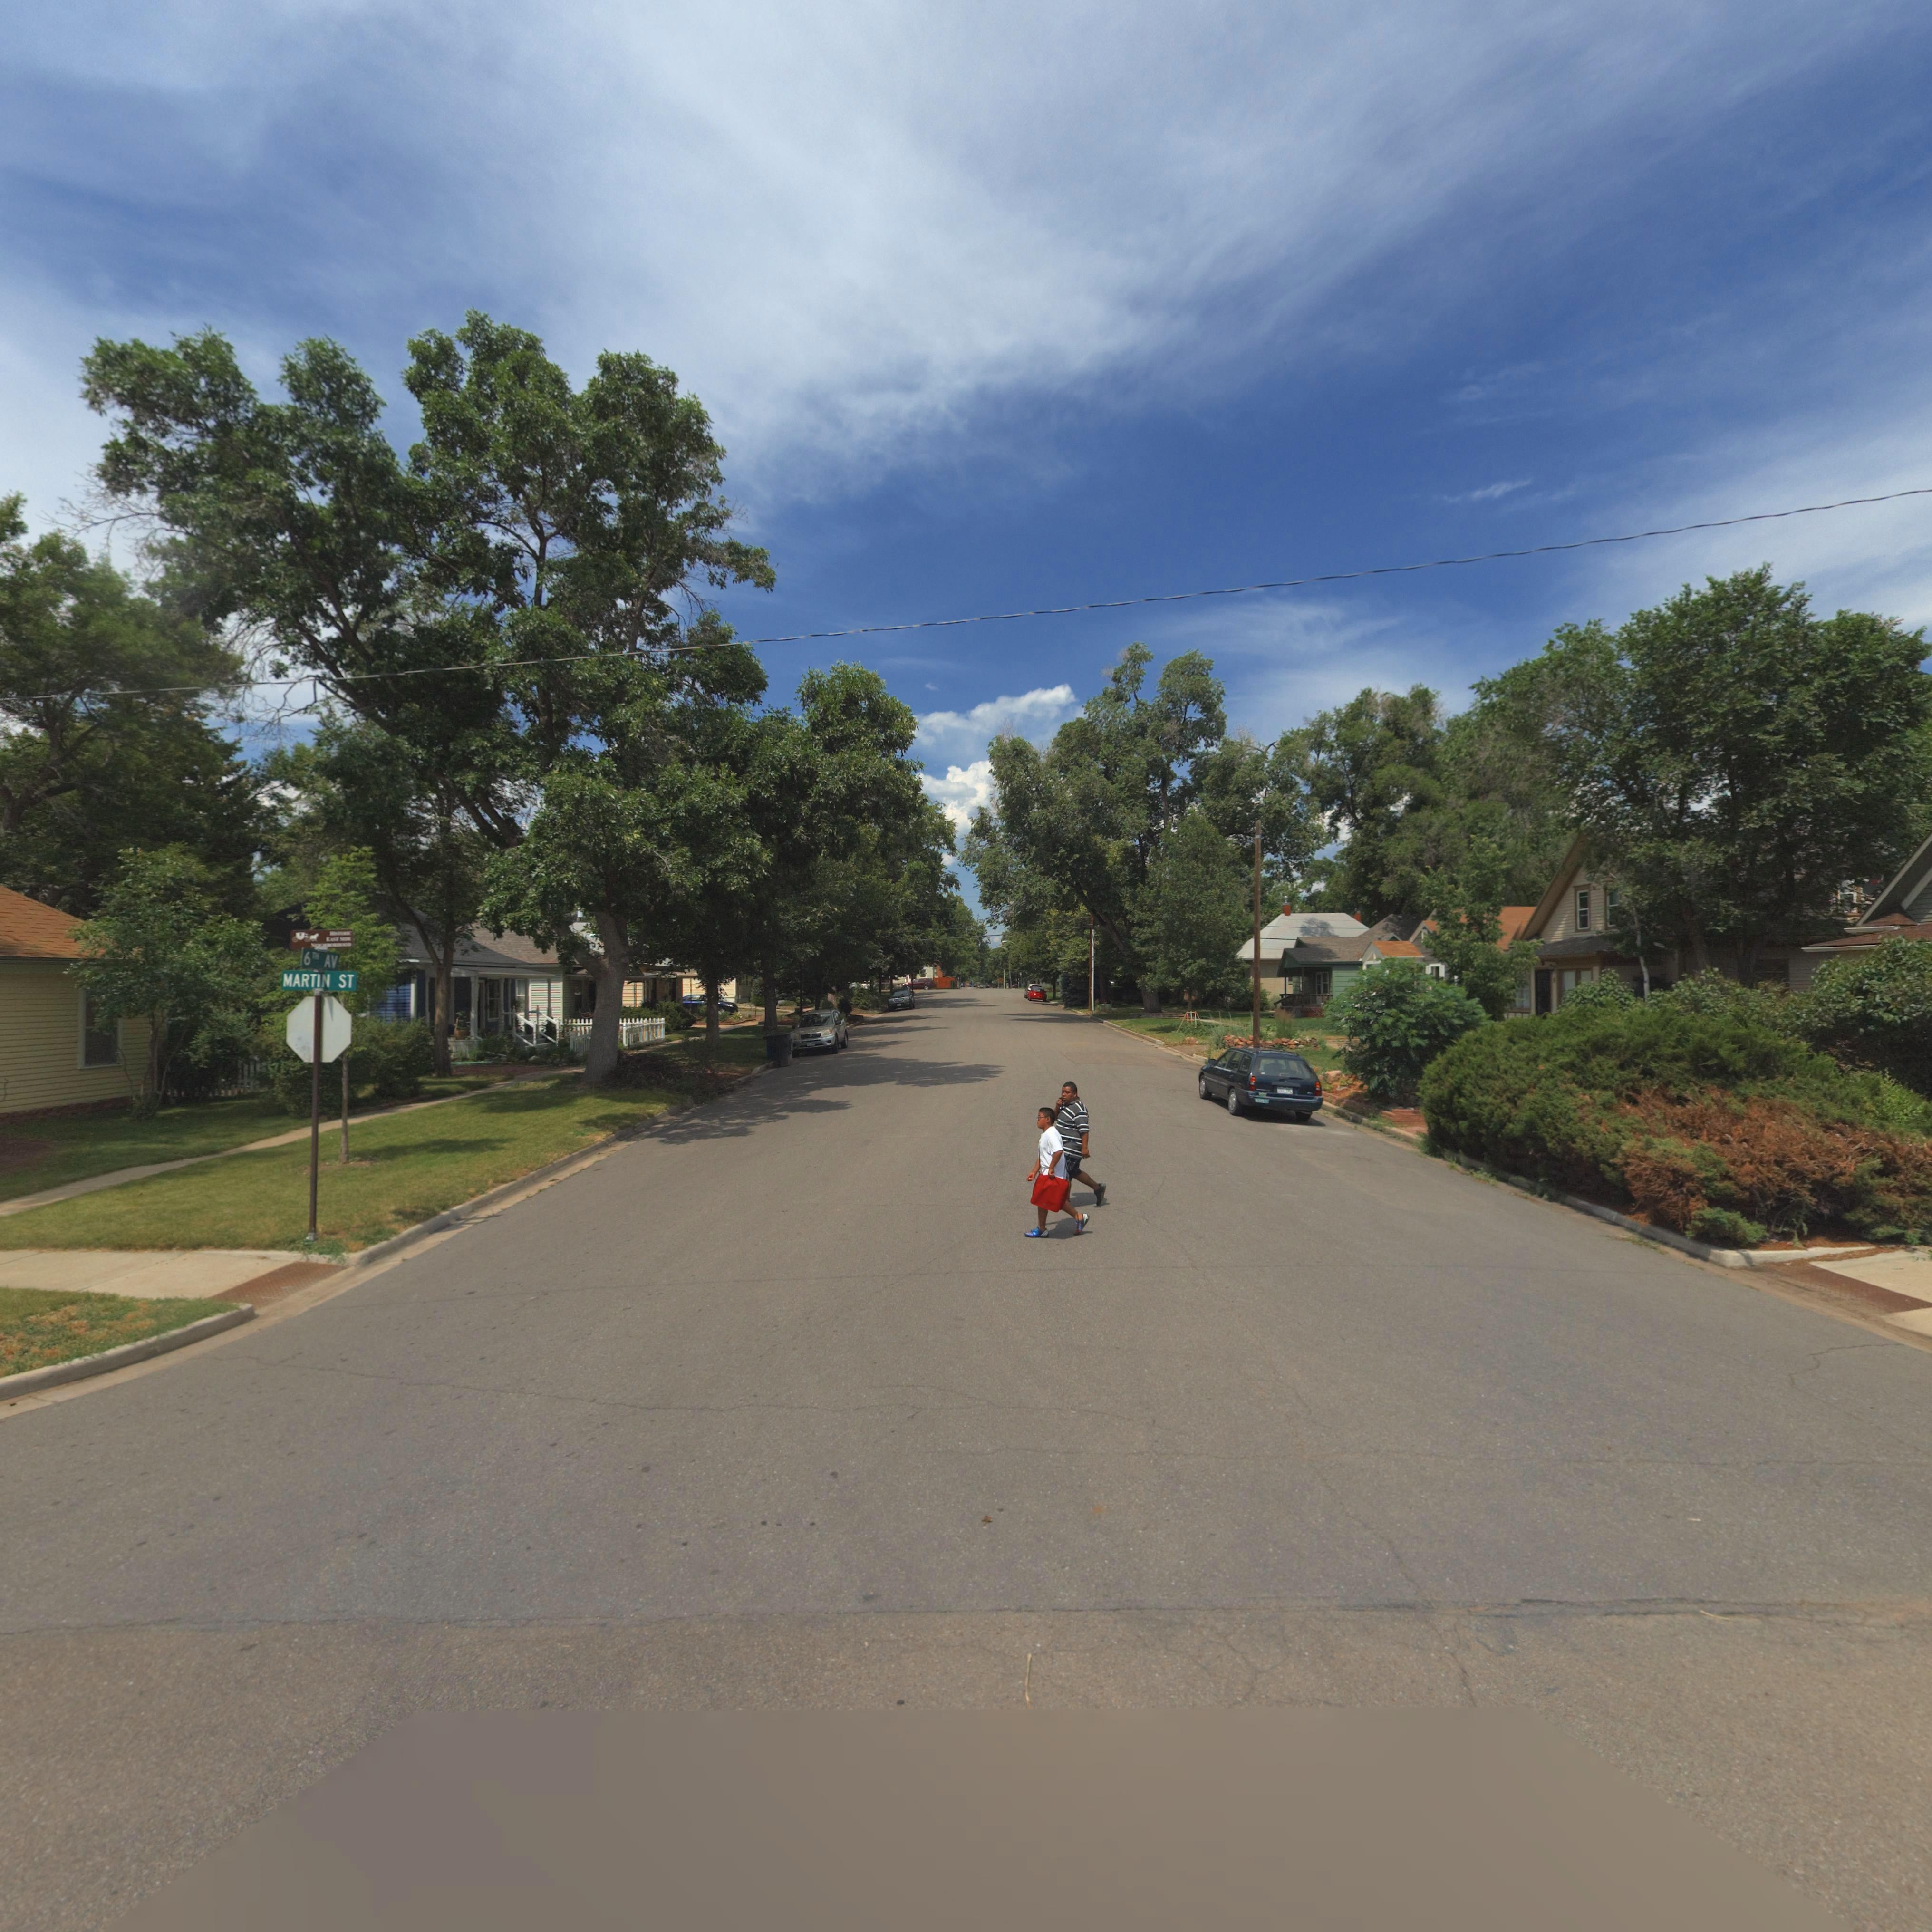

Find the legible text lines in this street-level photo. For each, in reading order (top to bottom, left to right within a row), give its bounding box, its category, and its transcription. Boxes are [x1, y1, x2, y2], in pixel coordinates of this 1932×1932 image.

[302, 950, 339, 969] StreetName: 6th AV
[282, 974, 354, 988] StreetName: MARTIN ST